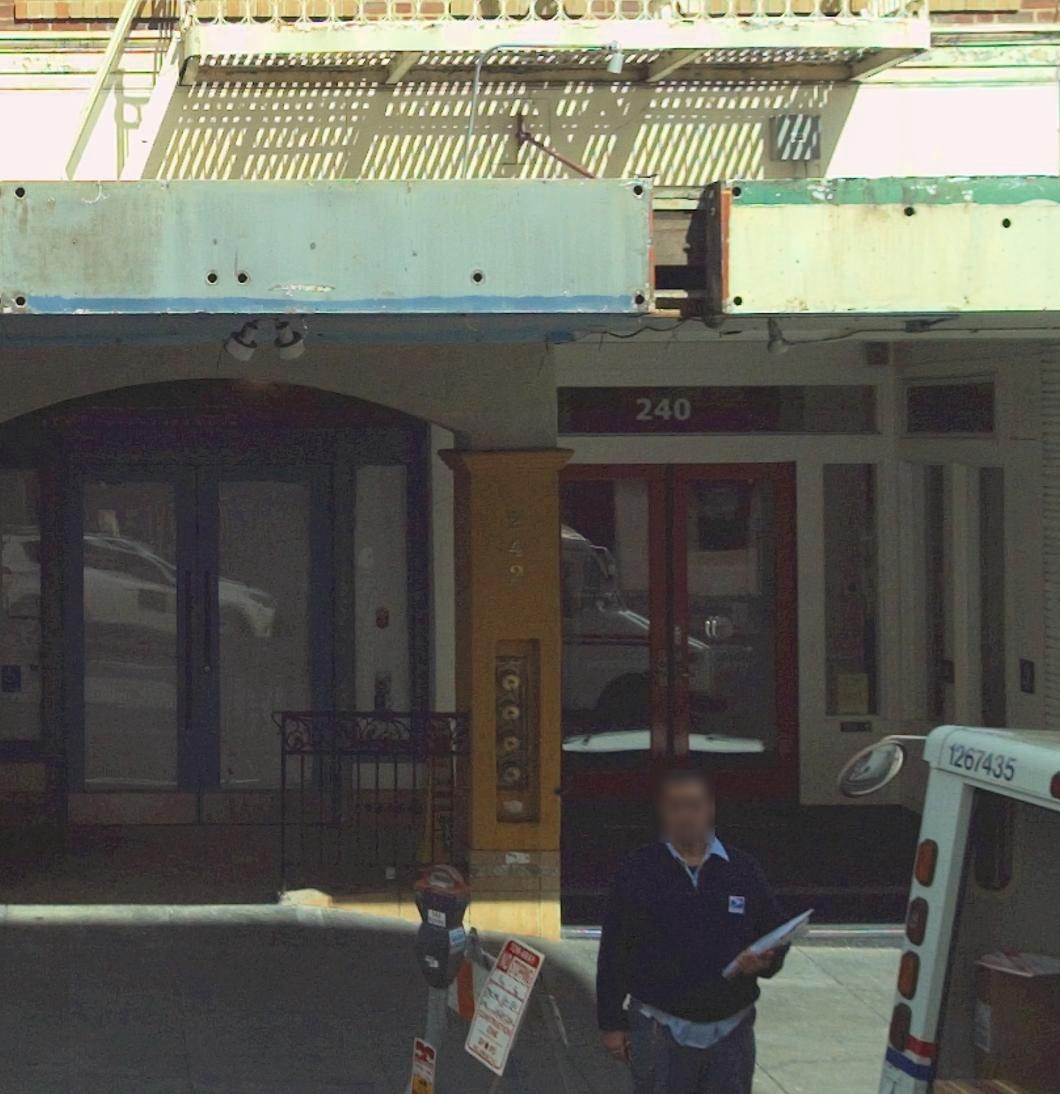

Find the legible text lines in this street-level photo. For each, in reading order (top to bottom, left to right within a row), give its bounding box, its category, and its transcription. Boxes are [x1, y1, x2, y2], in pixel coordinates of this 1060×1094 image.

[630, 394, 696, 426] StreetNumber: 240
[502, 506, 528, 589] StreetNumber: 242
[944, 737, 1022, 789] None: 1267435
[498, 951, 522, 977] None: OS